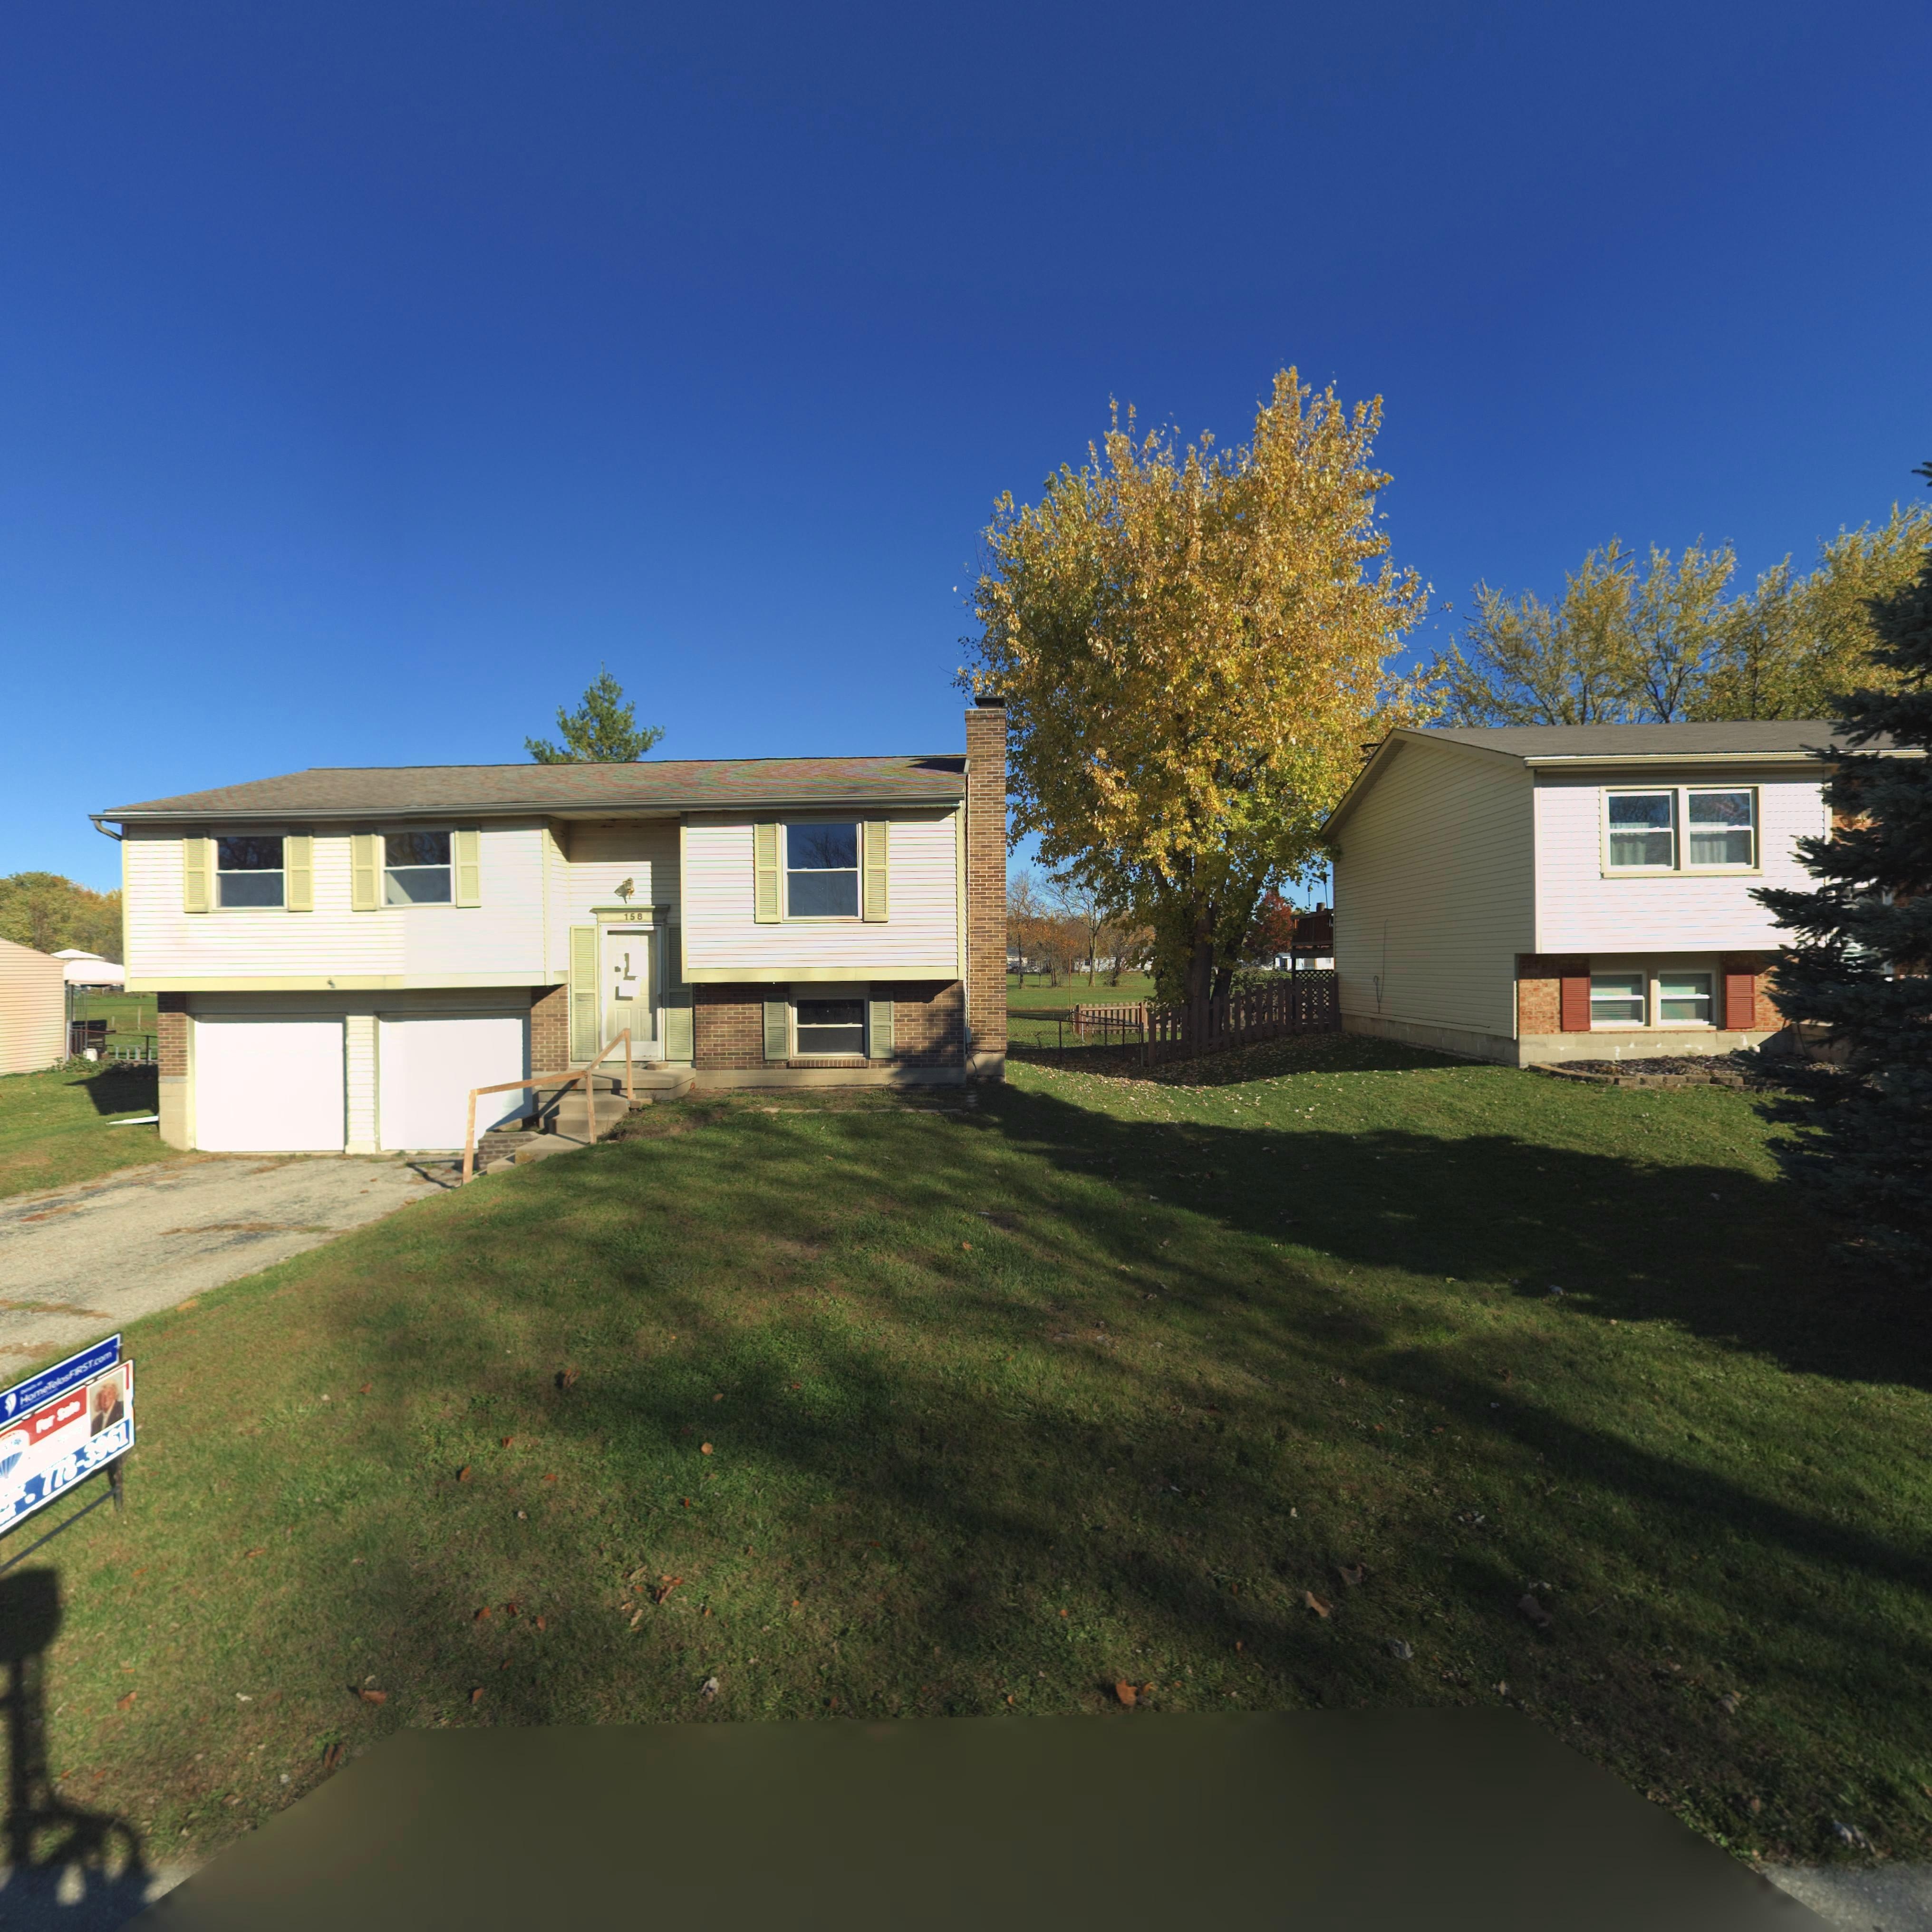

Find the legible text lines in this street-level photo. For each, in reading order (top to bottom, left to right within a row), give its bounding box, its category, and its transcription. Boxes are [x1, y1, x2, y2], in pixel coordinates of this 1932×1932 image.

[622, 911, 645, 922] StreetNumber: 158